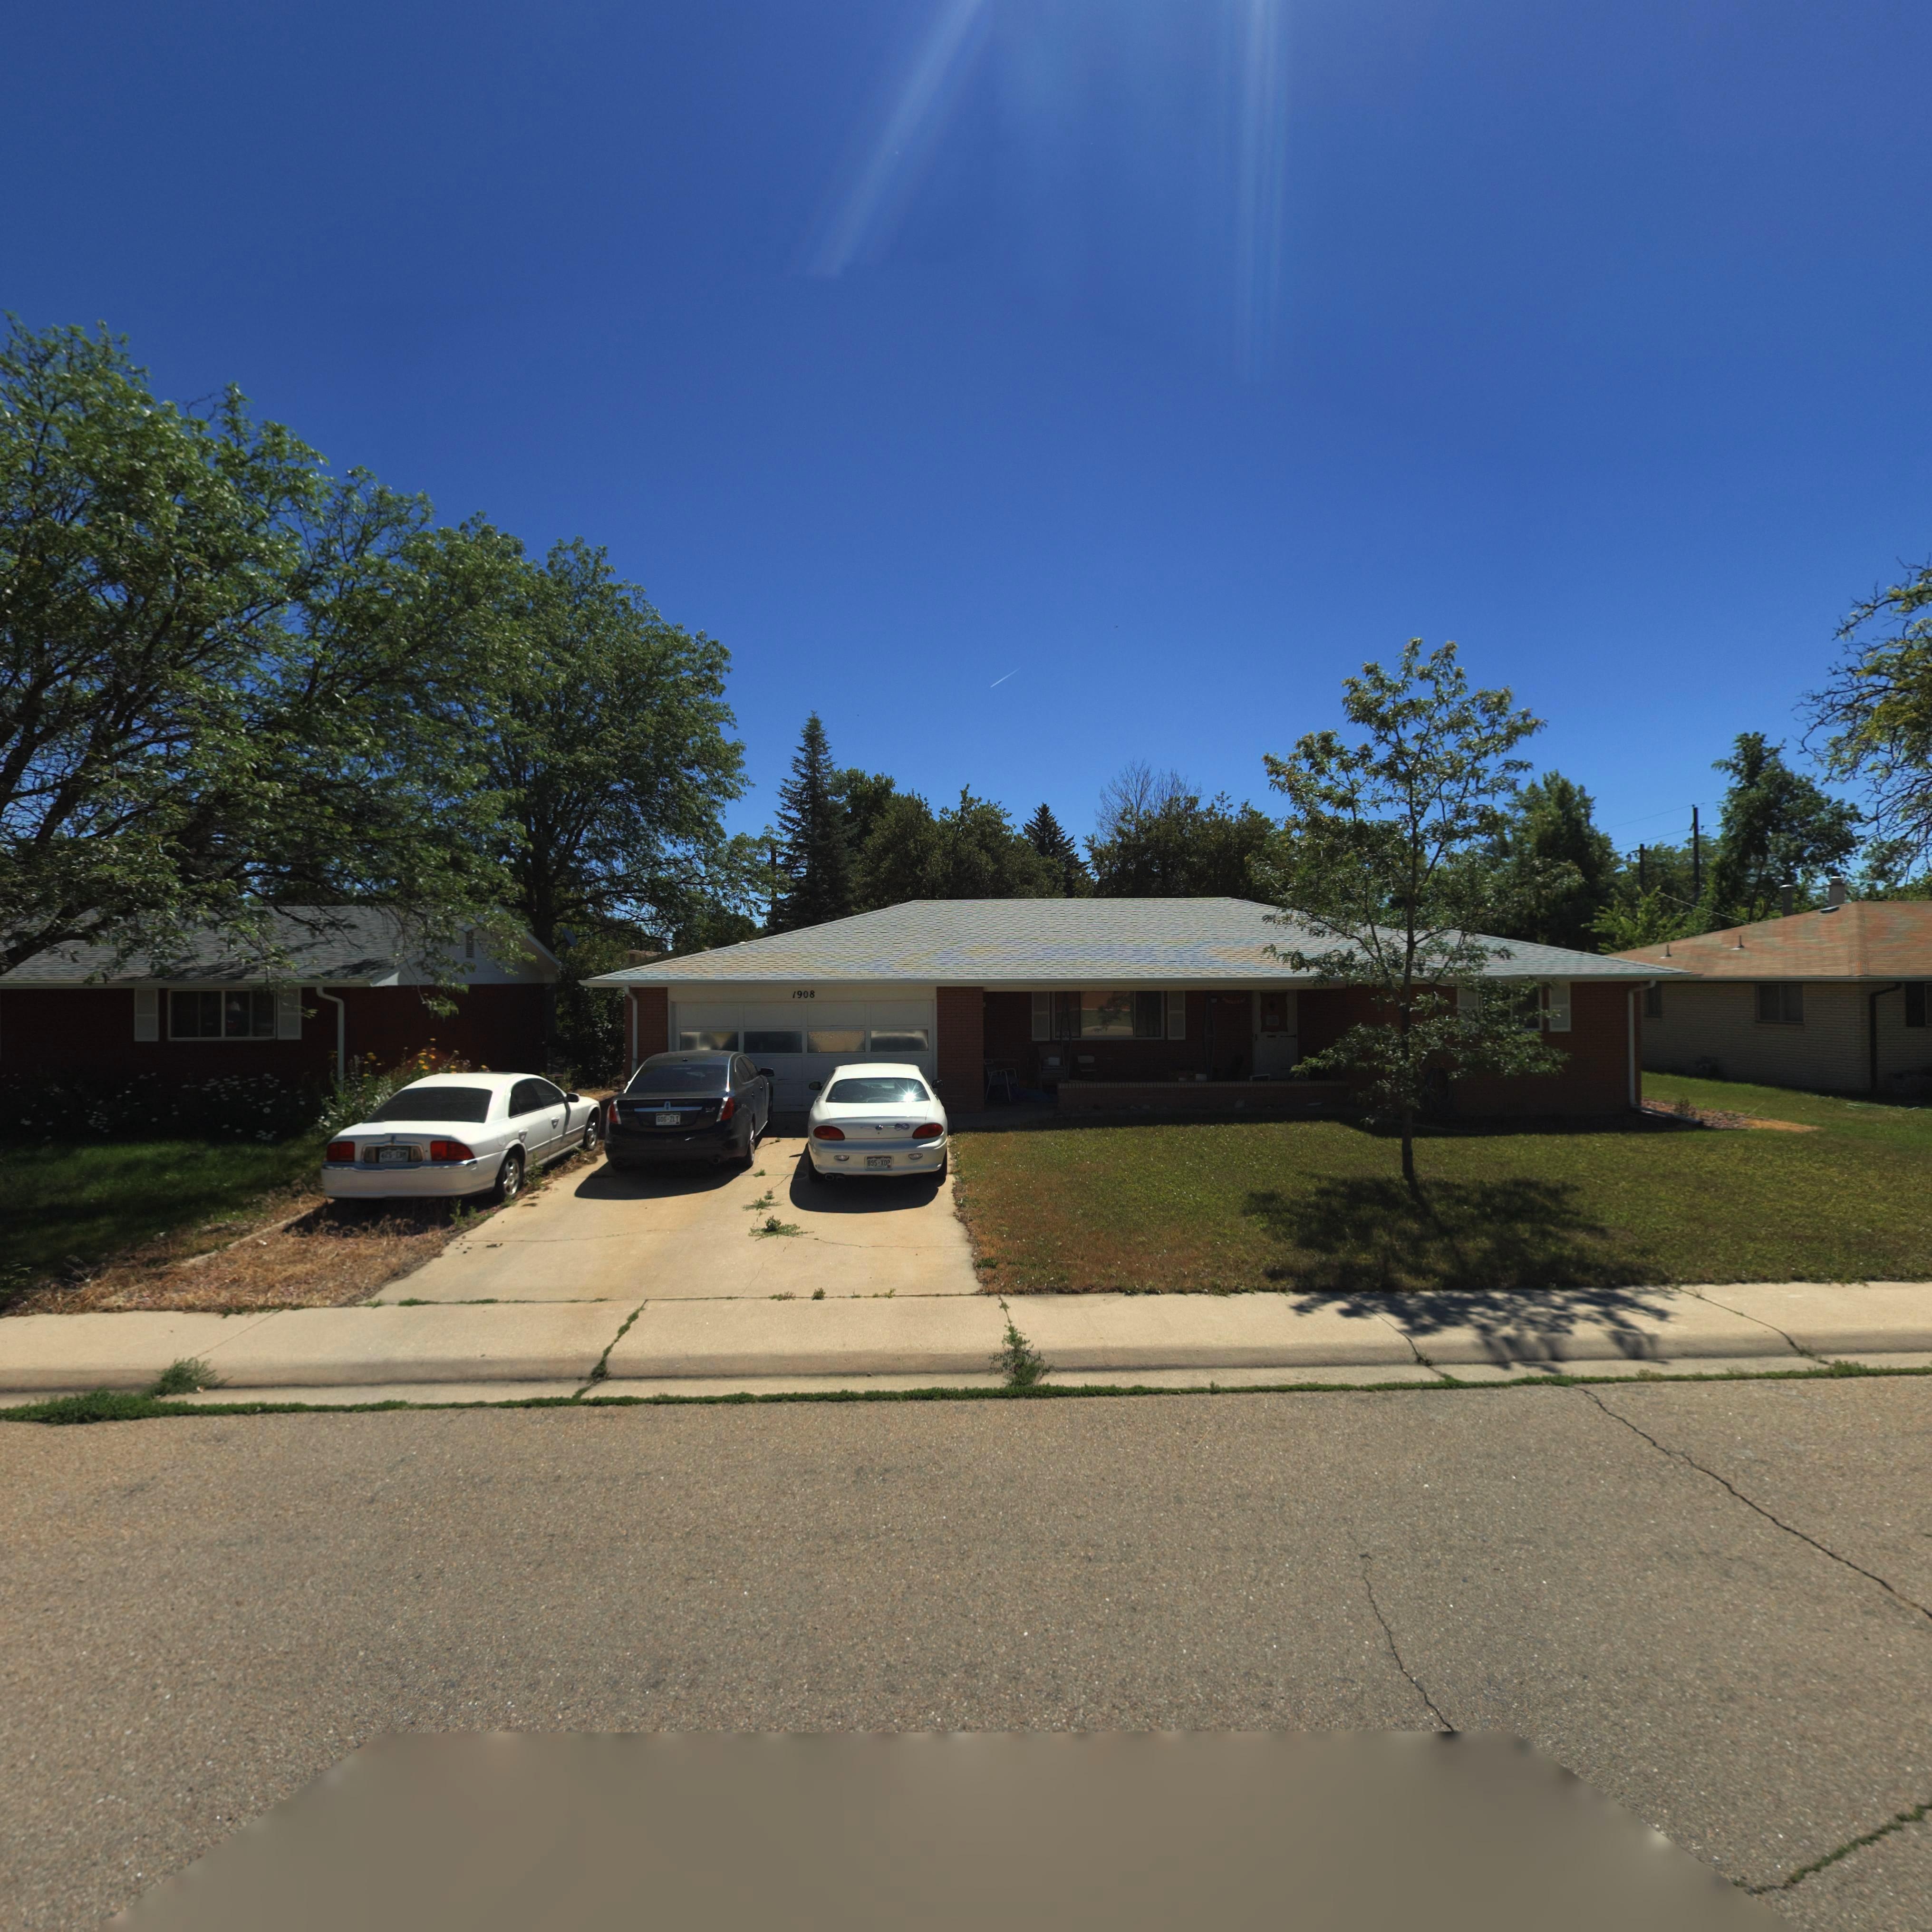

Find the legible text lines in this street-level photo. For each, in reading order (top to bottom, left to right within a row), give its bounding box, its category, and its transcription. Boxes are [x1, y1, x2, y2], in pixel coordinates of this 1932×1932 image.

[791, 990, 815, 998] StreetNumber: 1908